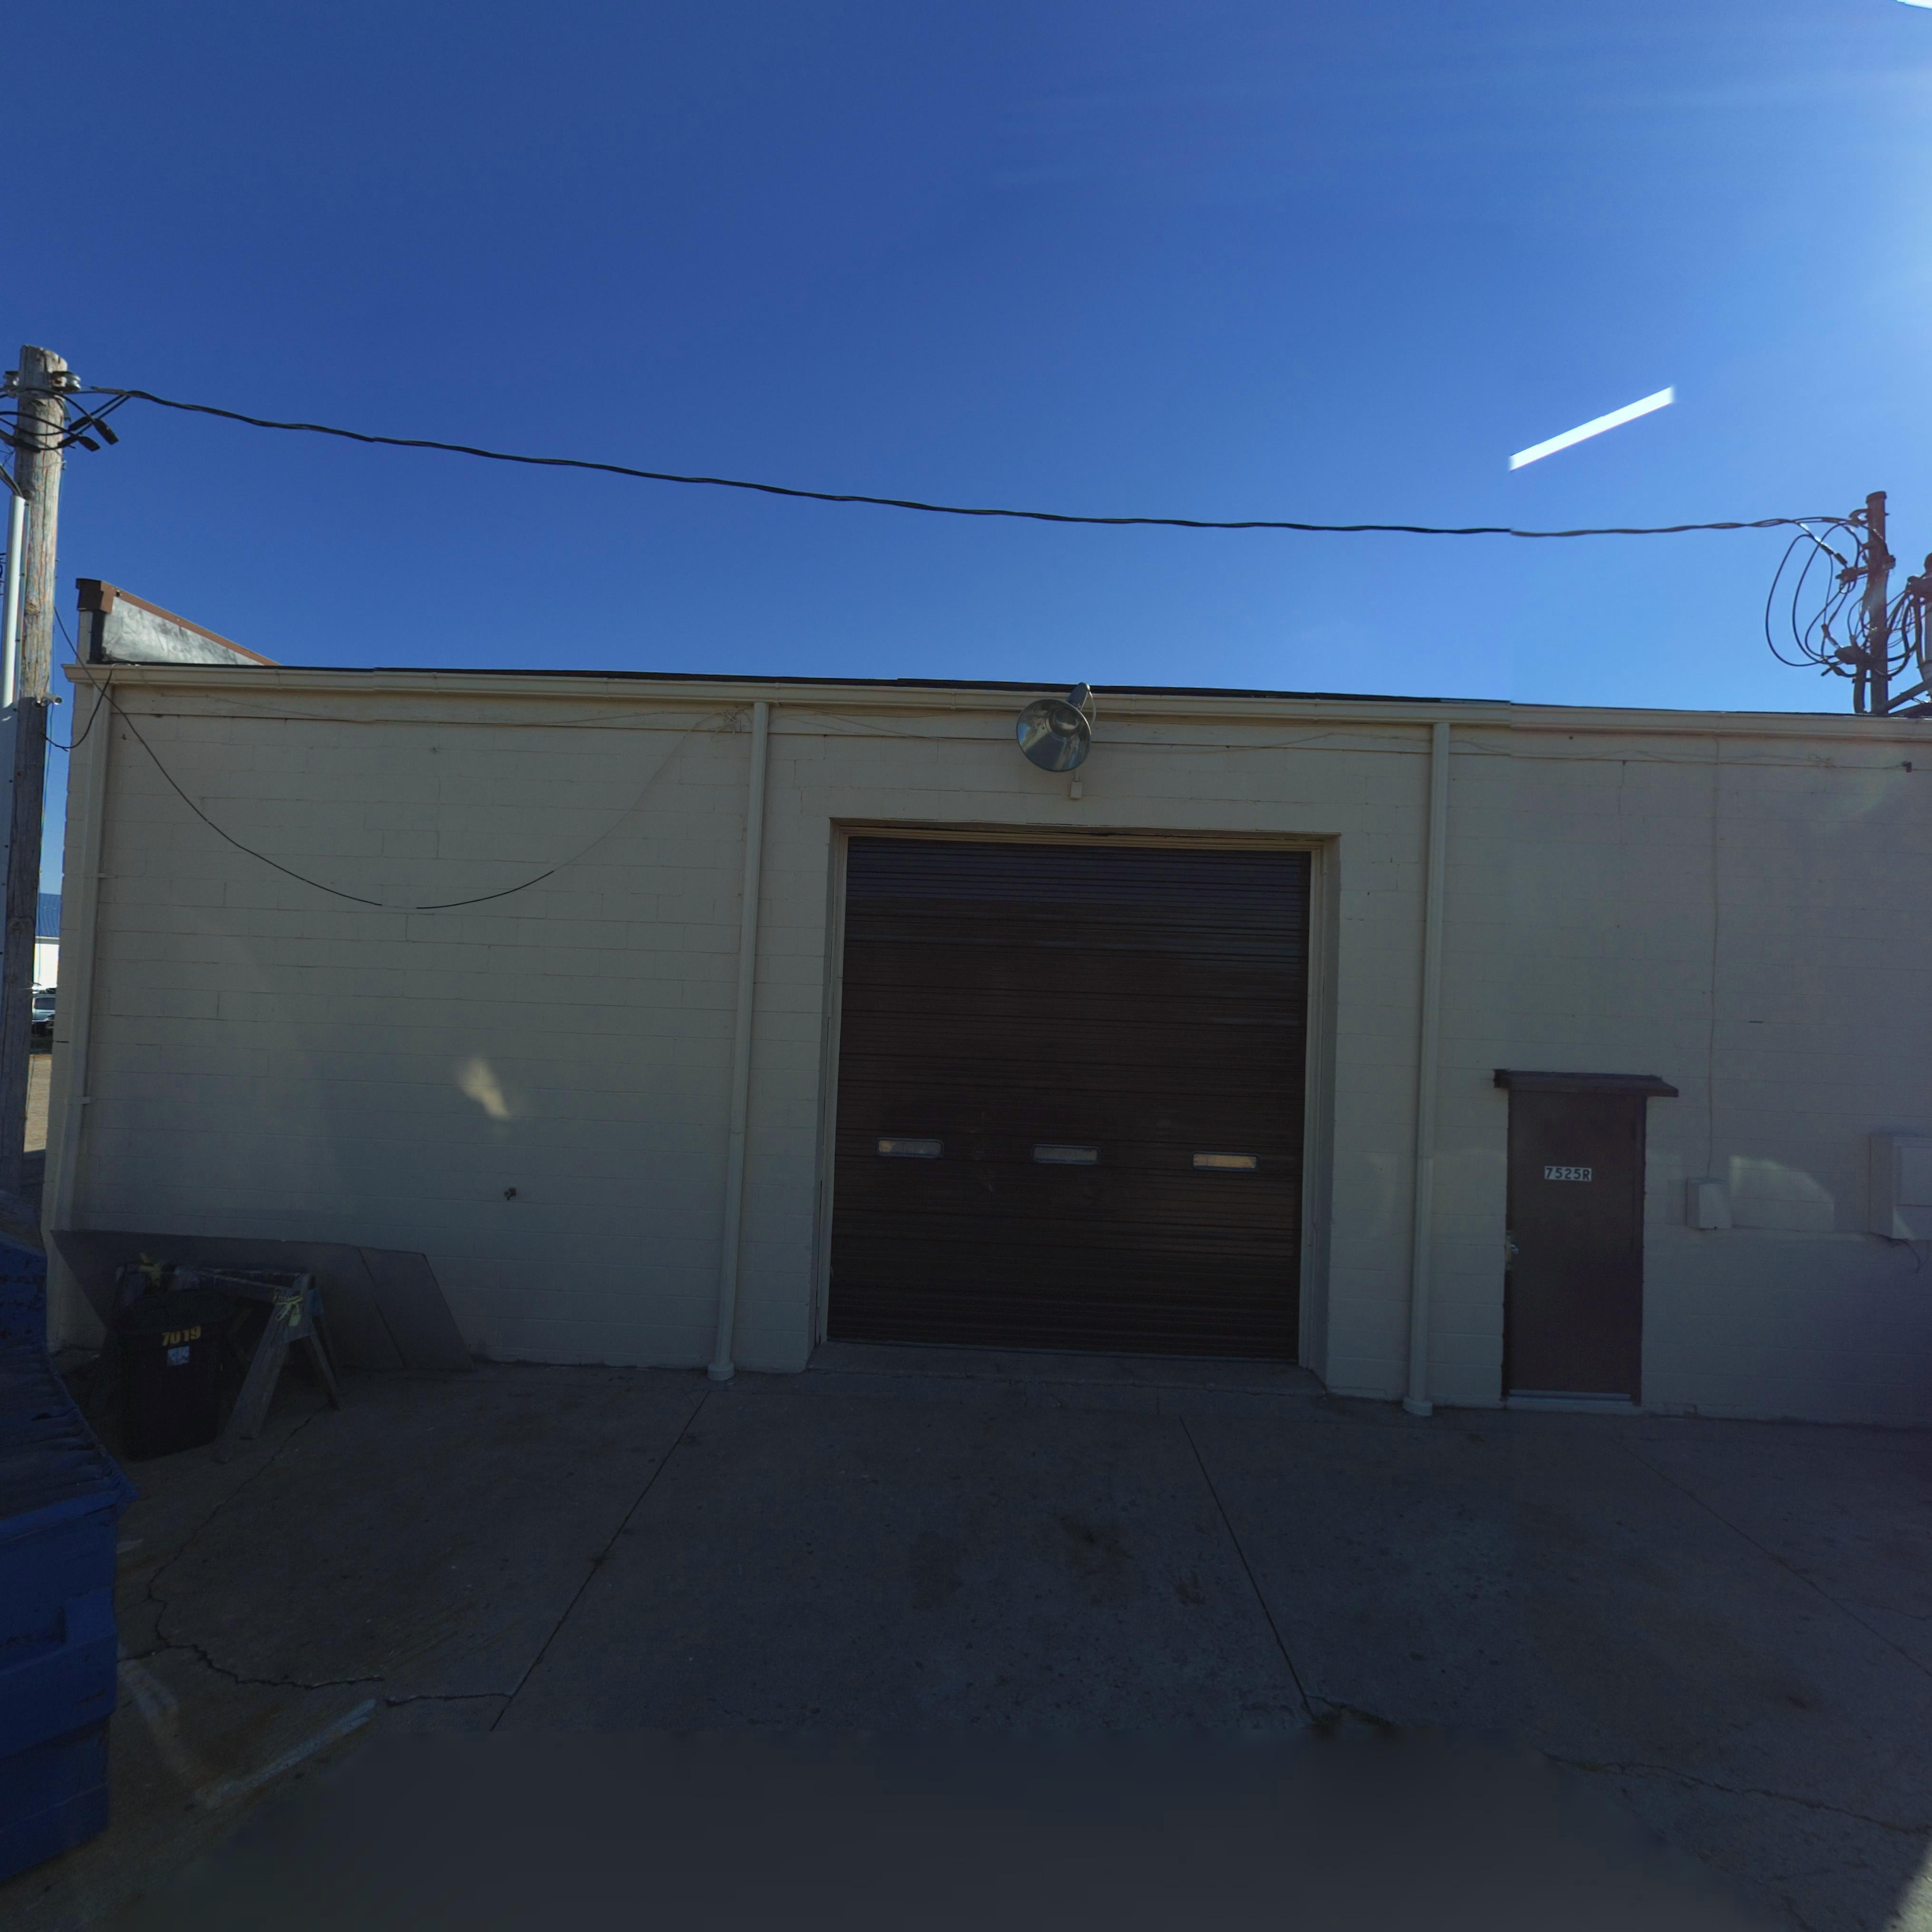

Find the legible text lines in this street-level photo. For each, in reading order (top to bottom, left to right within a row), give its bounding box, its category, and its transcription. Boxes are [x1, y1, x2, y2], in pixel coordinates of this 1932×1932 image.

[1545, 1166, 1582, 1180] StreetNumber: 7525
[160, 1323, 203, 1348] StreetNumber: 7019